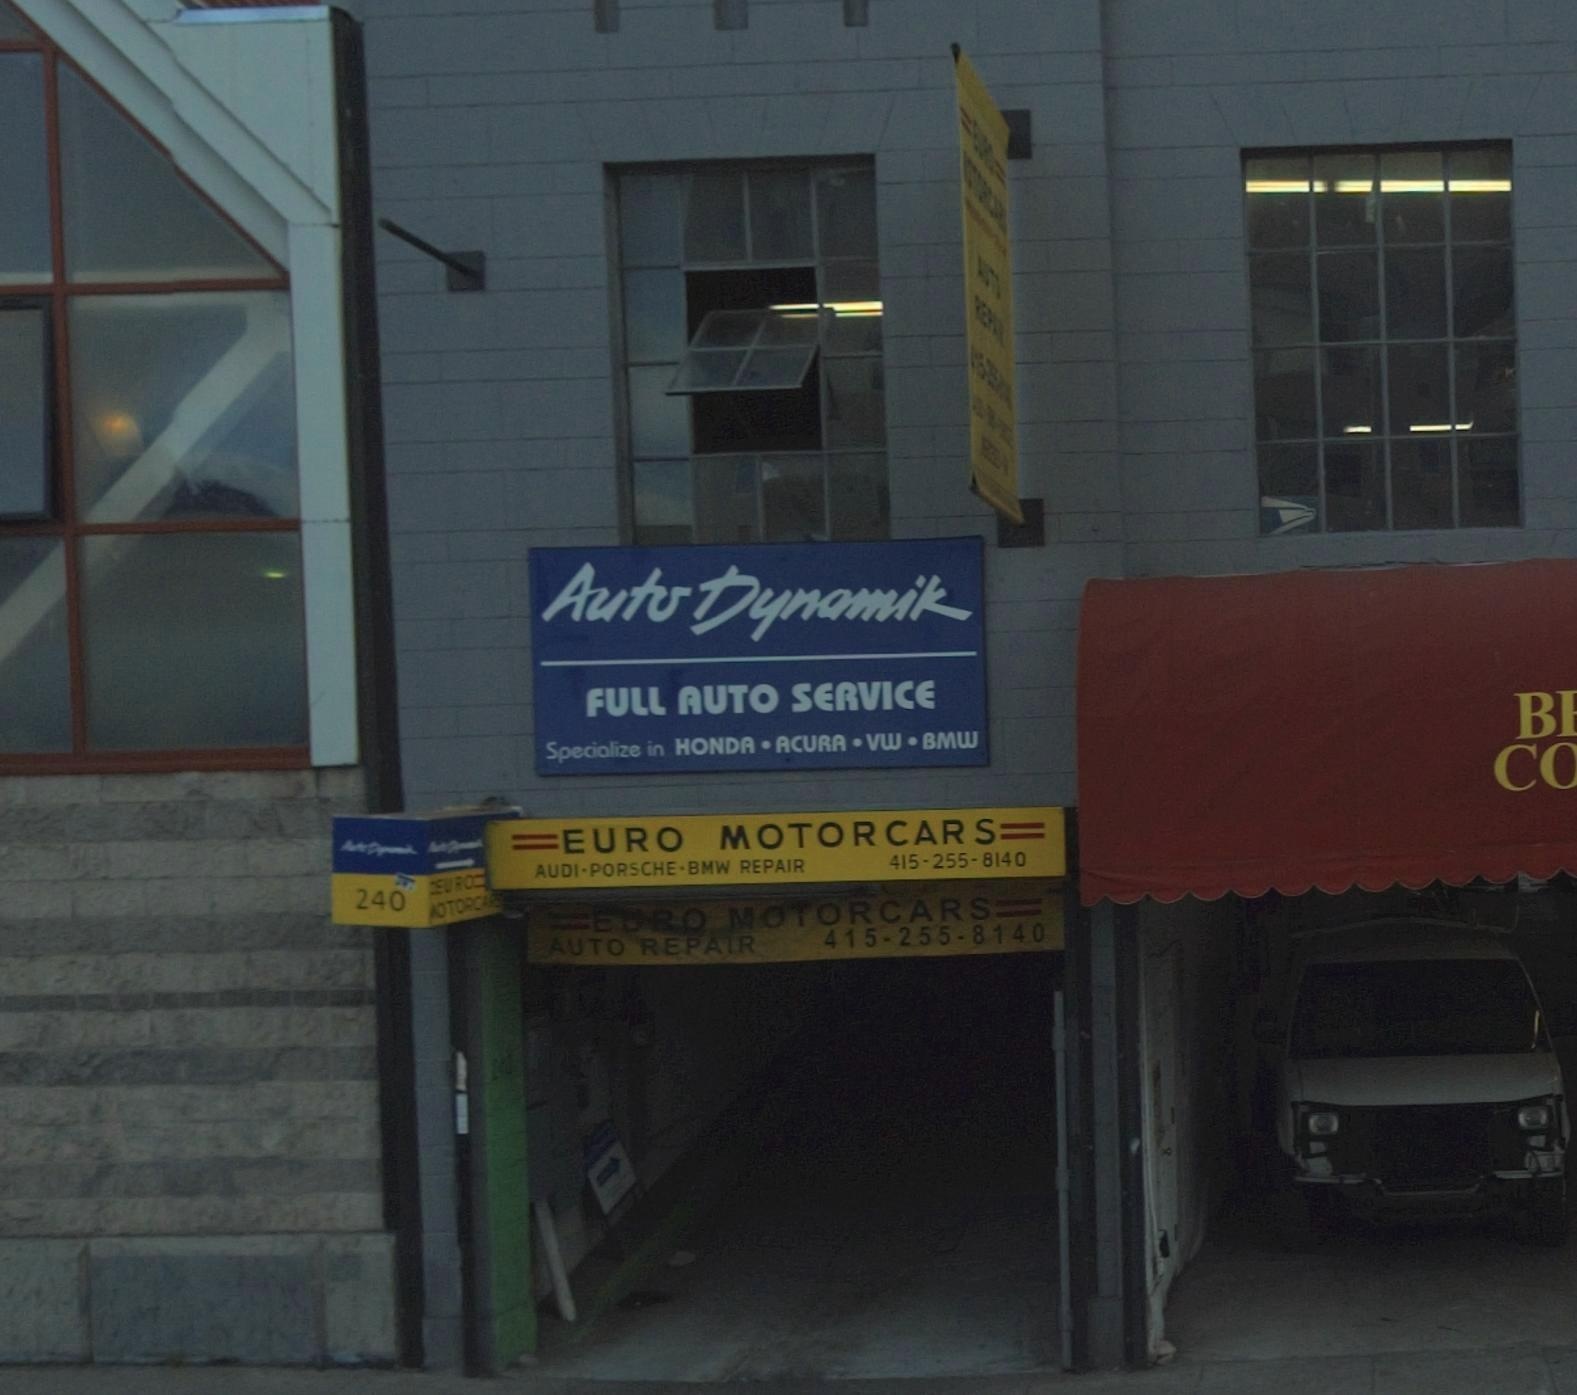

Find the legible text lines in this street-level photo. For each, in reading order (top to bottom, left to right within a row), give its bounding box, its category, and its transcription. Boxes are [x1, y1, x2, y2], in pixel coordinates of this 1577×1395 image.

[533, 556, 982, 655] BusinessName: Auto Dynamik
[582, 676, 939, 722] None: FULL AUTO SERVICE
[1511, 688, 1560, 741] BusinessName: B
[543, 727, 982, 767] None: Specialize in HONDA * ACURA * VW * BMW
[1491, 740, 1540, 795] BusinessName: C
[558, 814, 999, 858] BusinessName: Euro Motorcars
[352, 883, 408, 916] StreetNumber: 240
[433, 870, 478, 899] BusinessName: EURO
[433, 892, 485, 921] BusinessName: OTORC
[531, 855, 810, 882] None: AUDI * PORSCHE * BMW REPAIR
[678, 893, 994, 936] BusinessName: O MOTORCARS
[885, 848, 1029, 873] None: 415-255-8140
[541, 930, 761, 961] None: AUTO REPAIR
[820, 919, 1048, 952] None: 415-255-8140